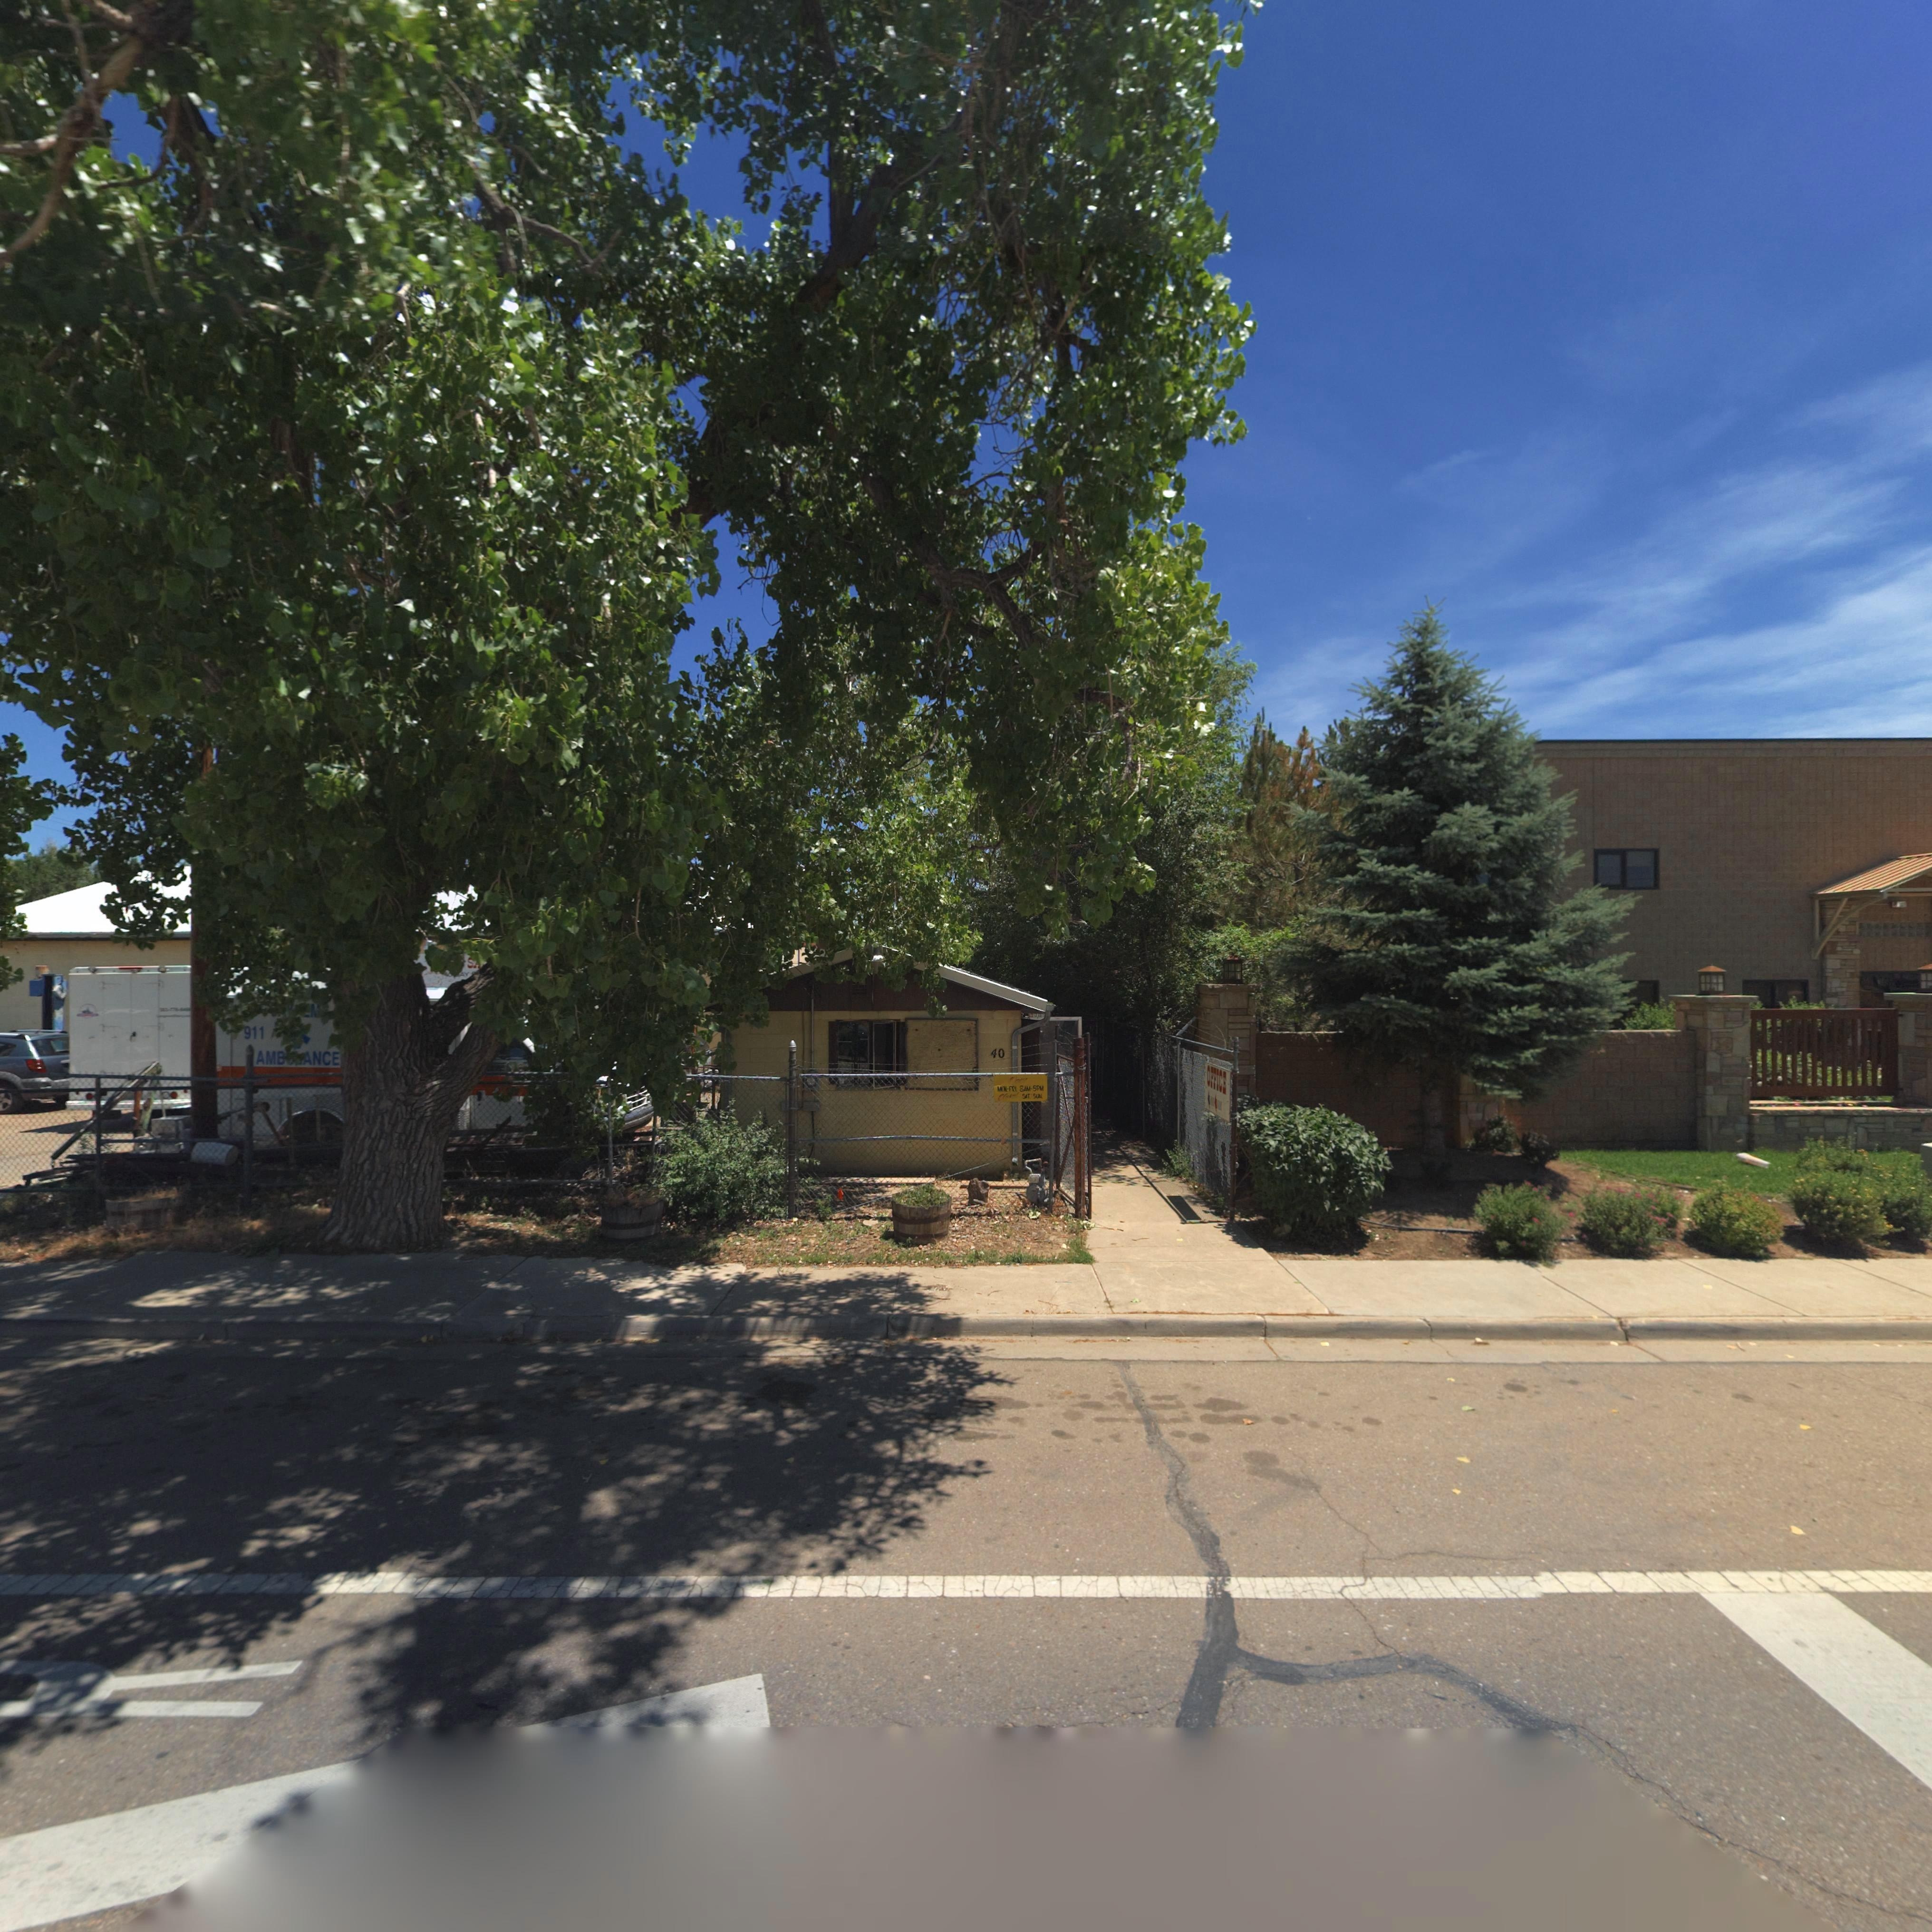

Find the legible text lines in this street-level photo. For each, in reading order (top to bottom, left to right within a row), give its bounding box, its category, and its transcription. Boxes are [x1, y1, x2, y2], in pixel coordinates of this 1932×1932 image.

[990, 1047, 1005, 1058] StreetNumber: 40